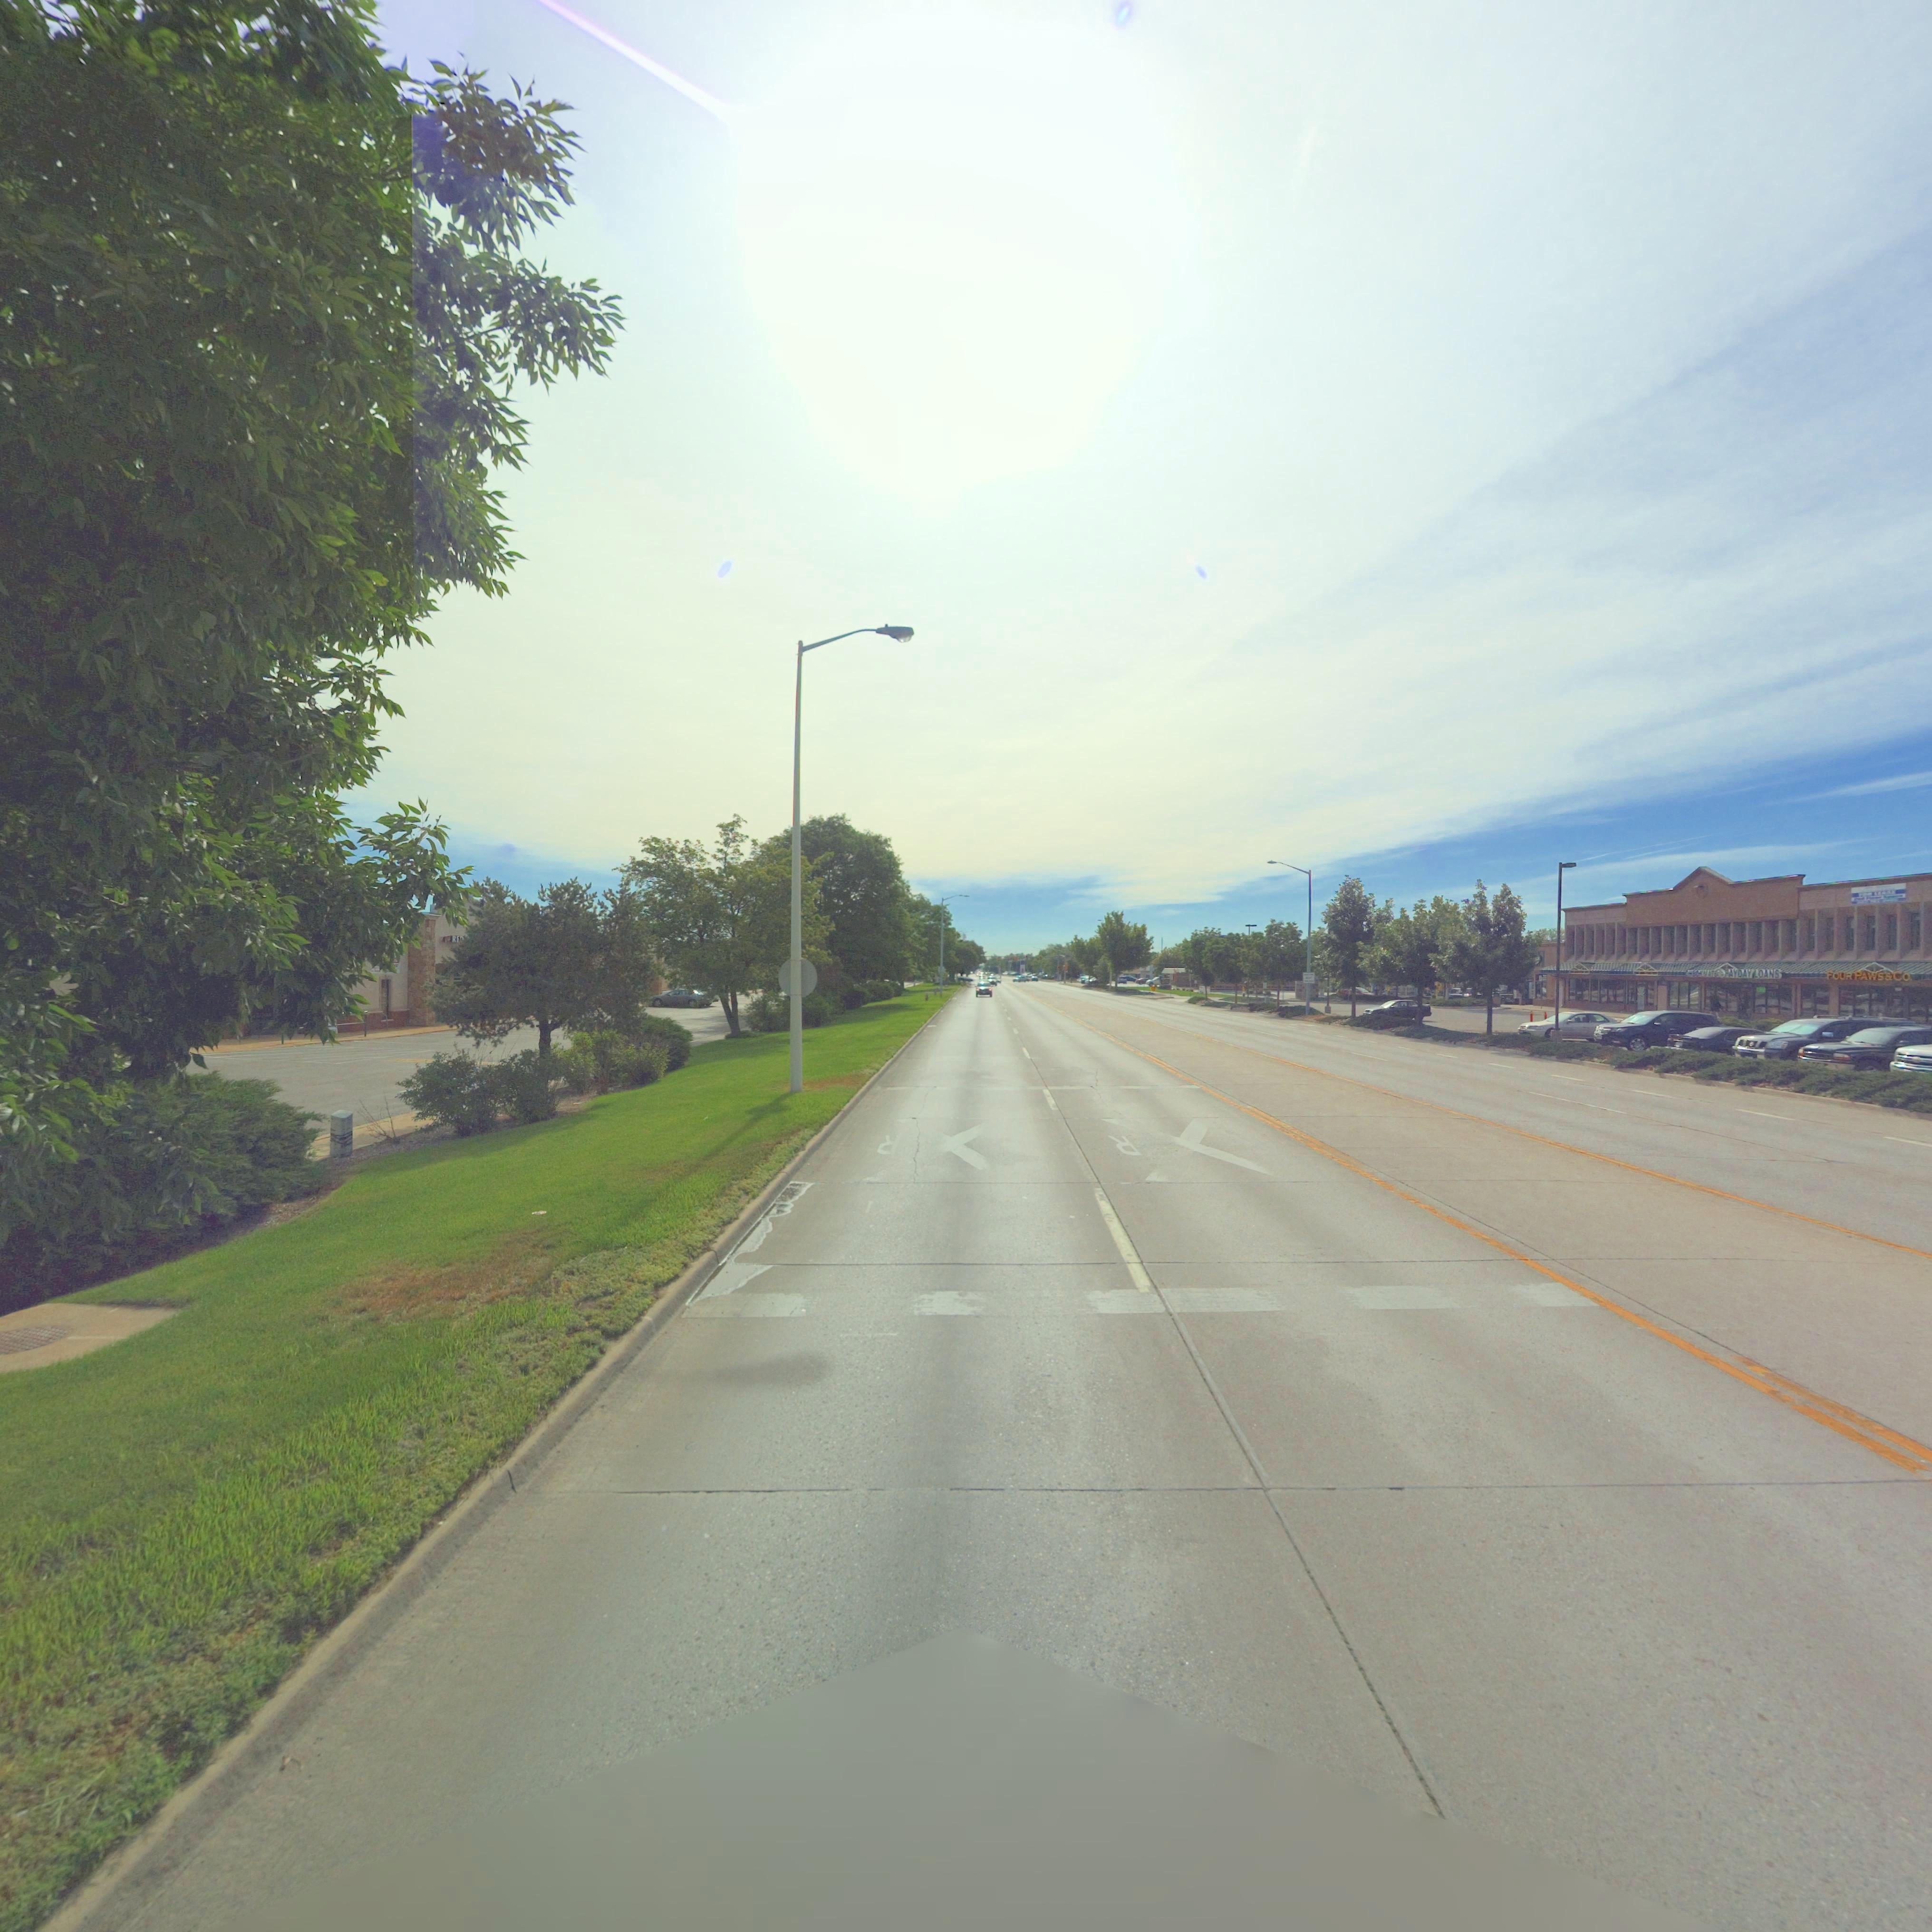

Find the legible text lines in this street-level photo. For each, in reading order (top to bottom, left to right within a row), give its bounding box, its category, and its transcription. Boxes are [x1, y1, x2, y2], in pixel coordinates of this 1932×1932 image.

[452, 935, 460, 943] BusinessName: RE
[1685, 967, 1780, 979] BusinessName: ******ATE PAYDAY LOANS
[1826, 969, 1913, 982] BusinessName: FOUR PAWS & CO.